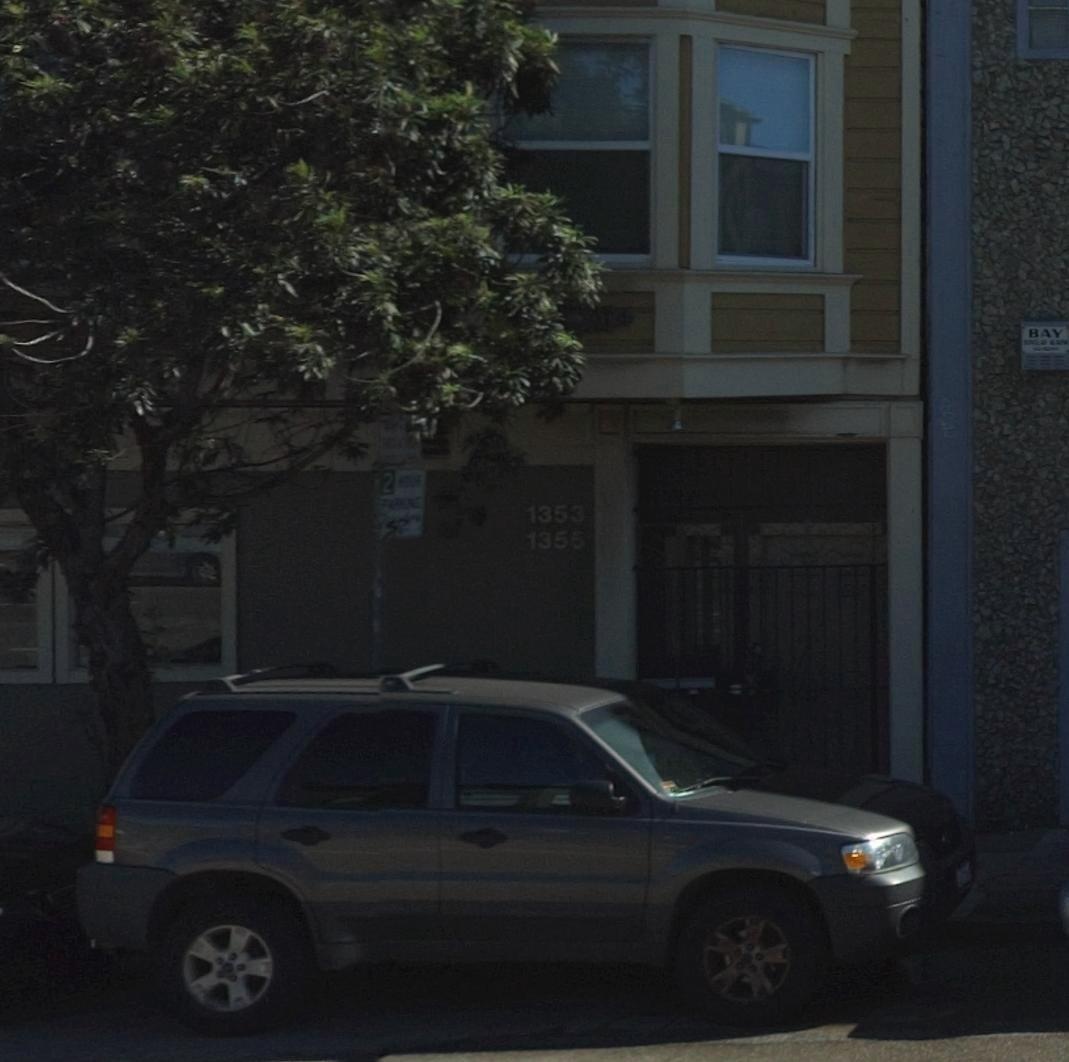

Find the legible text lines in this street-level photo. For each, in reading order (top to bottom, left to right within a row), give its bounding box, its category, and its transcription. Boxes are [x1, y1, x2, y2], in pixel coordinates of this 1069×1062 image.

[1026, 326, 1066, 340] None: BAY
[380, 470, 396, 497] None: 2
[524, 502, 588, 527] StreetNumber: 1353
[525, 529, 587, 552] StreetNumber: 1355